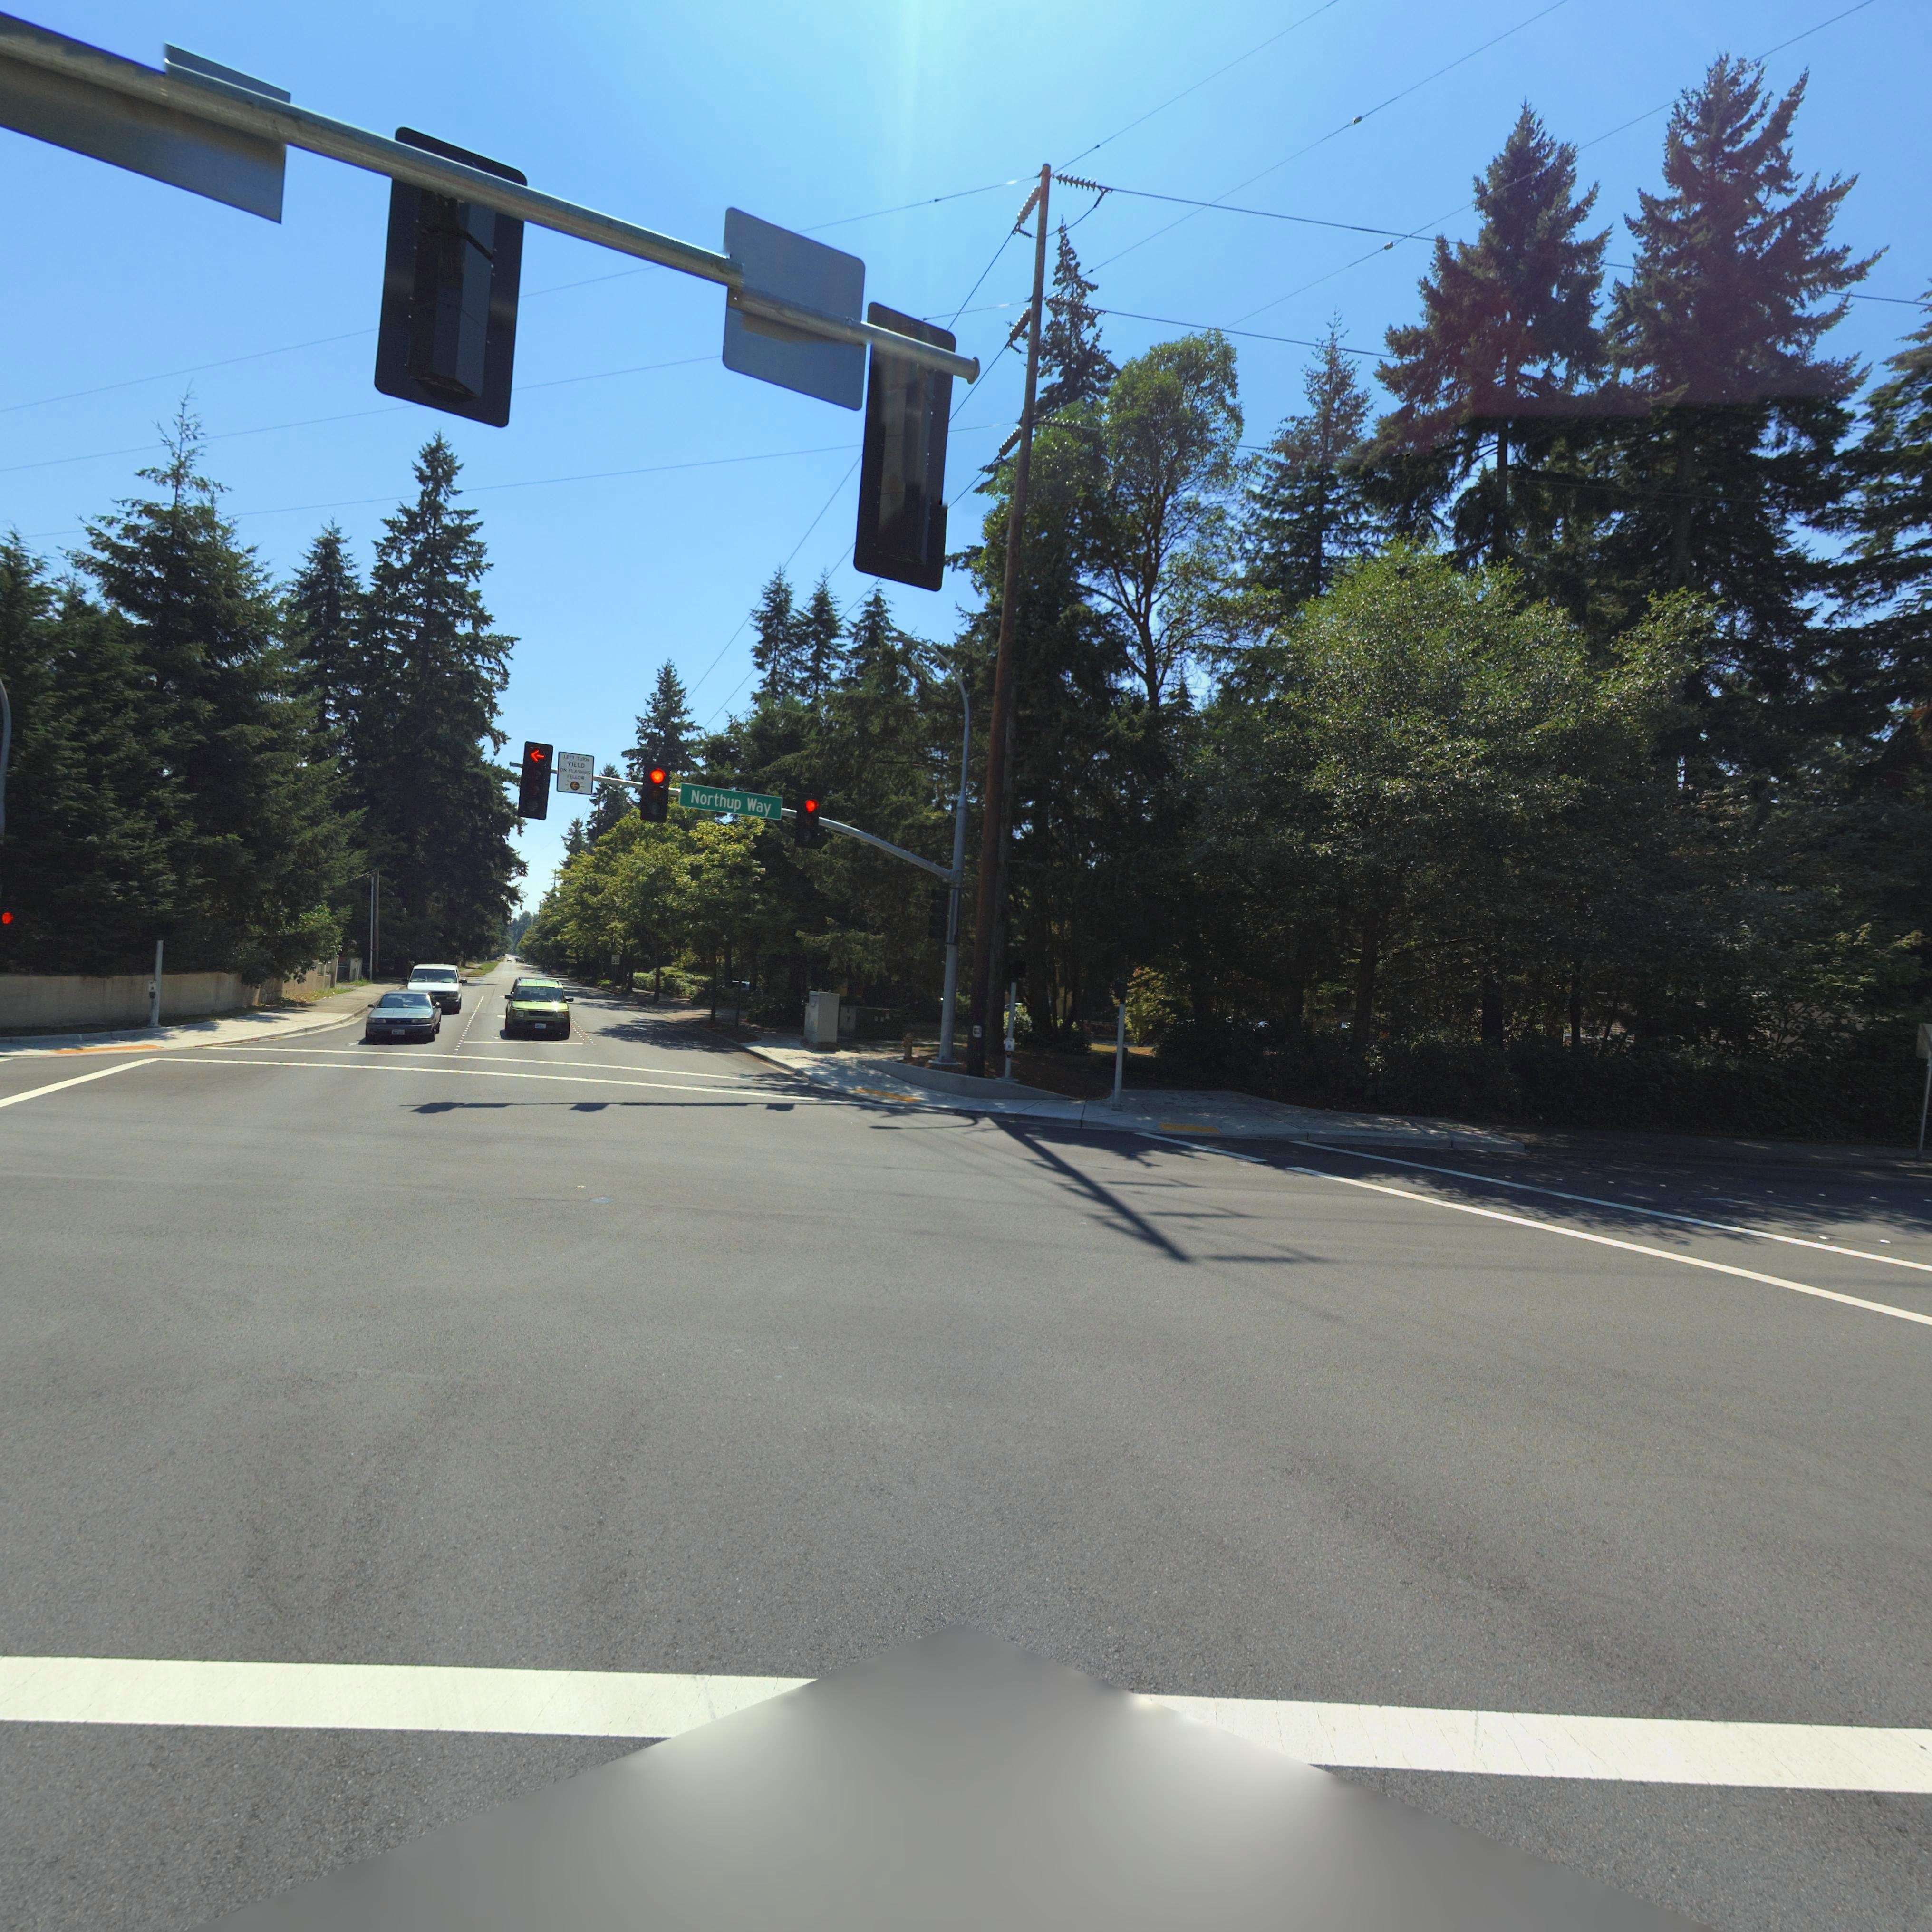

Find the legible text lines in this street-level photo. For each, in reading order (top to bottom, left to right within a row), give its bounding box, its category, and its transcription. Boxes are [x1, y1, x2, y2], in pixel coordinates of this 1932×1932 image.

[689, 788, 773, 817] StreetName: Northup Way